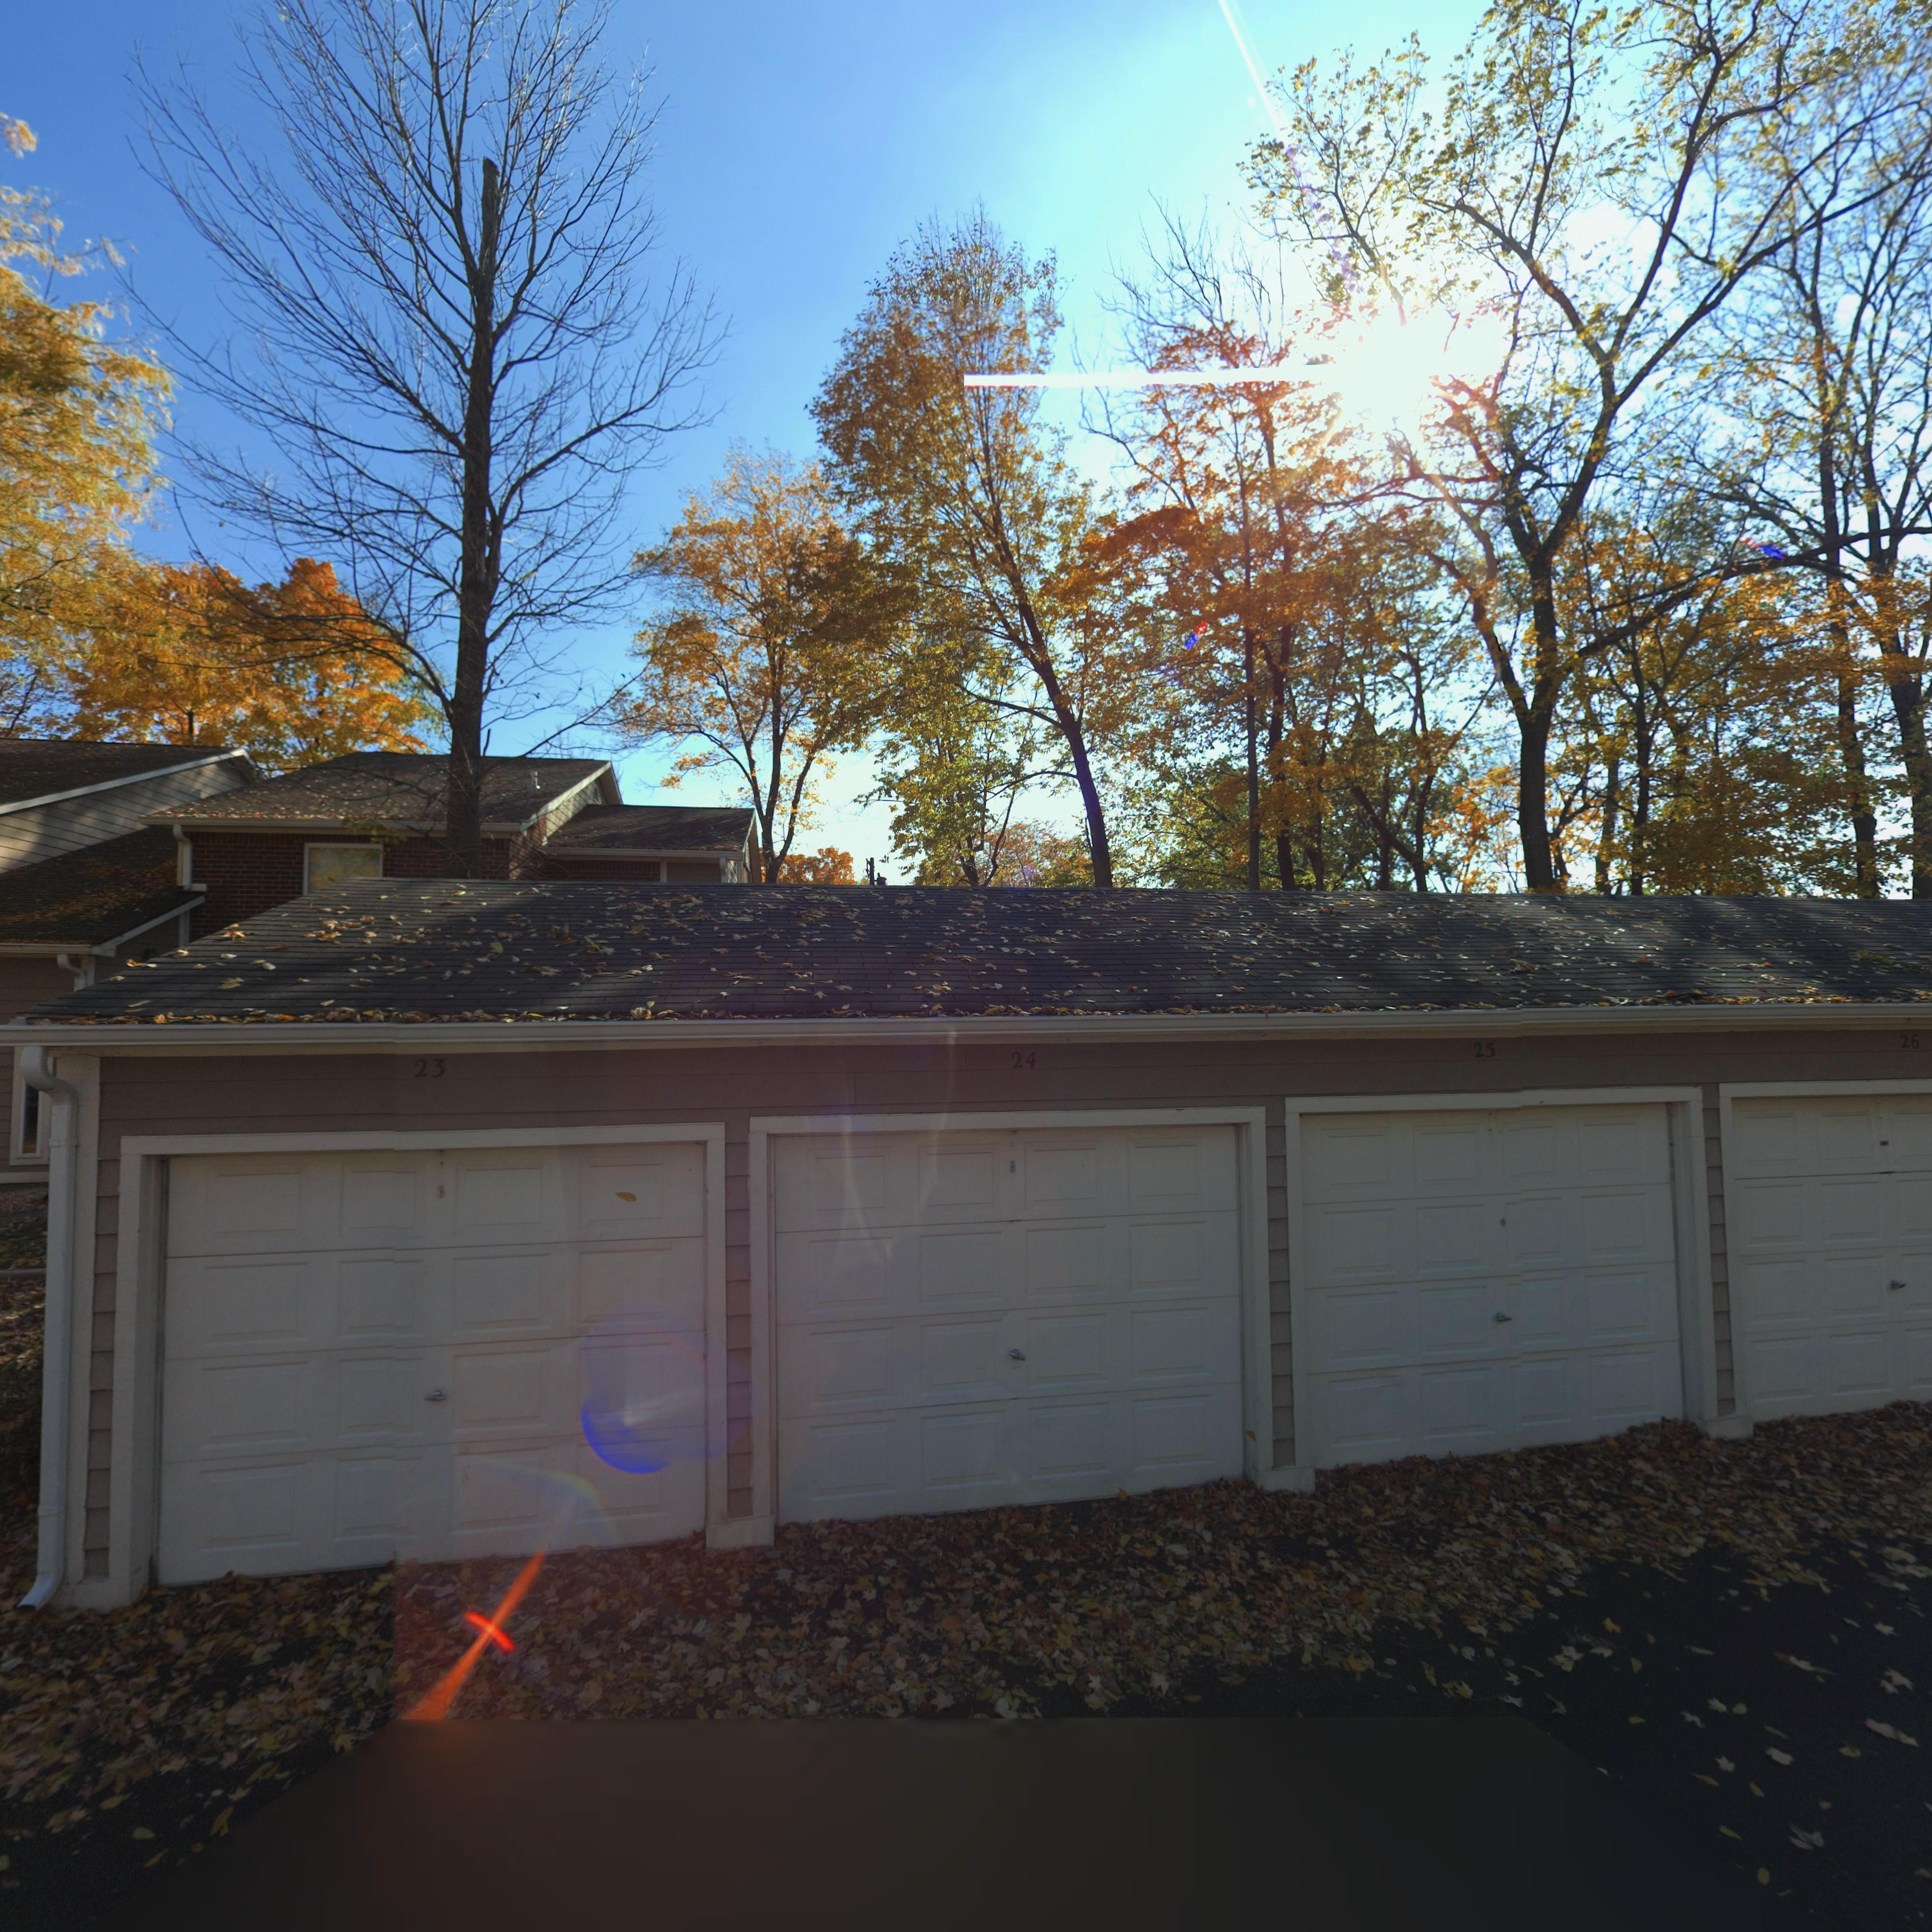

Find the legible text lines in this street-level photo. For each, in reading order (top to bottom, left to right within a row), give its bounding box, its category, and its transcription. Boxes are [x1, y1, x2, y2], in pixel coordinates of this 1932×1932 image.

[413, 1056, 447, 1080] StreetNumber: 23
[1010, 1049, 1038, 1071] StreetNumber: 24
[1471, 1040, 1497, 1059] StreetNumber: 25
[1898, 1033, 1921, 1050] StreetNumber: 26